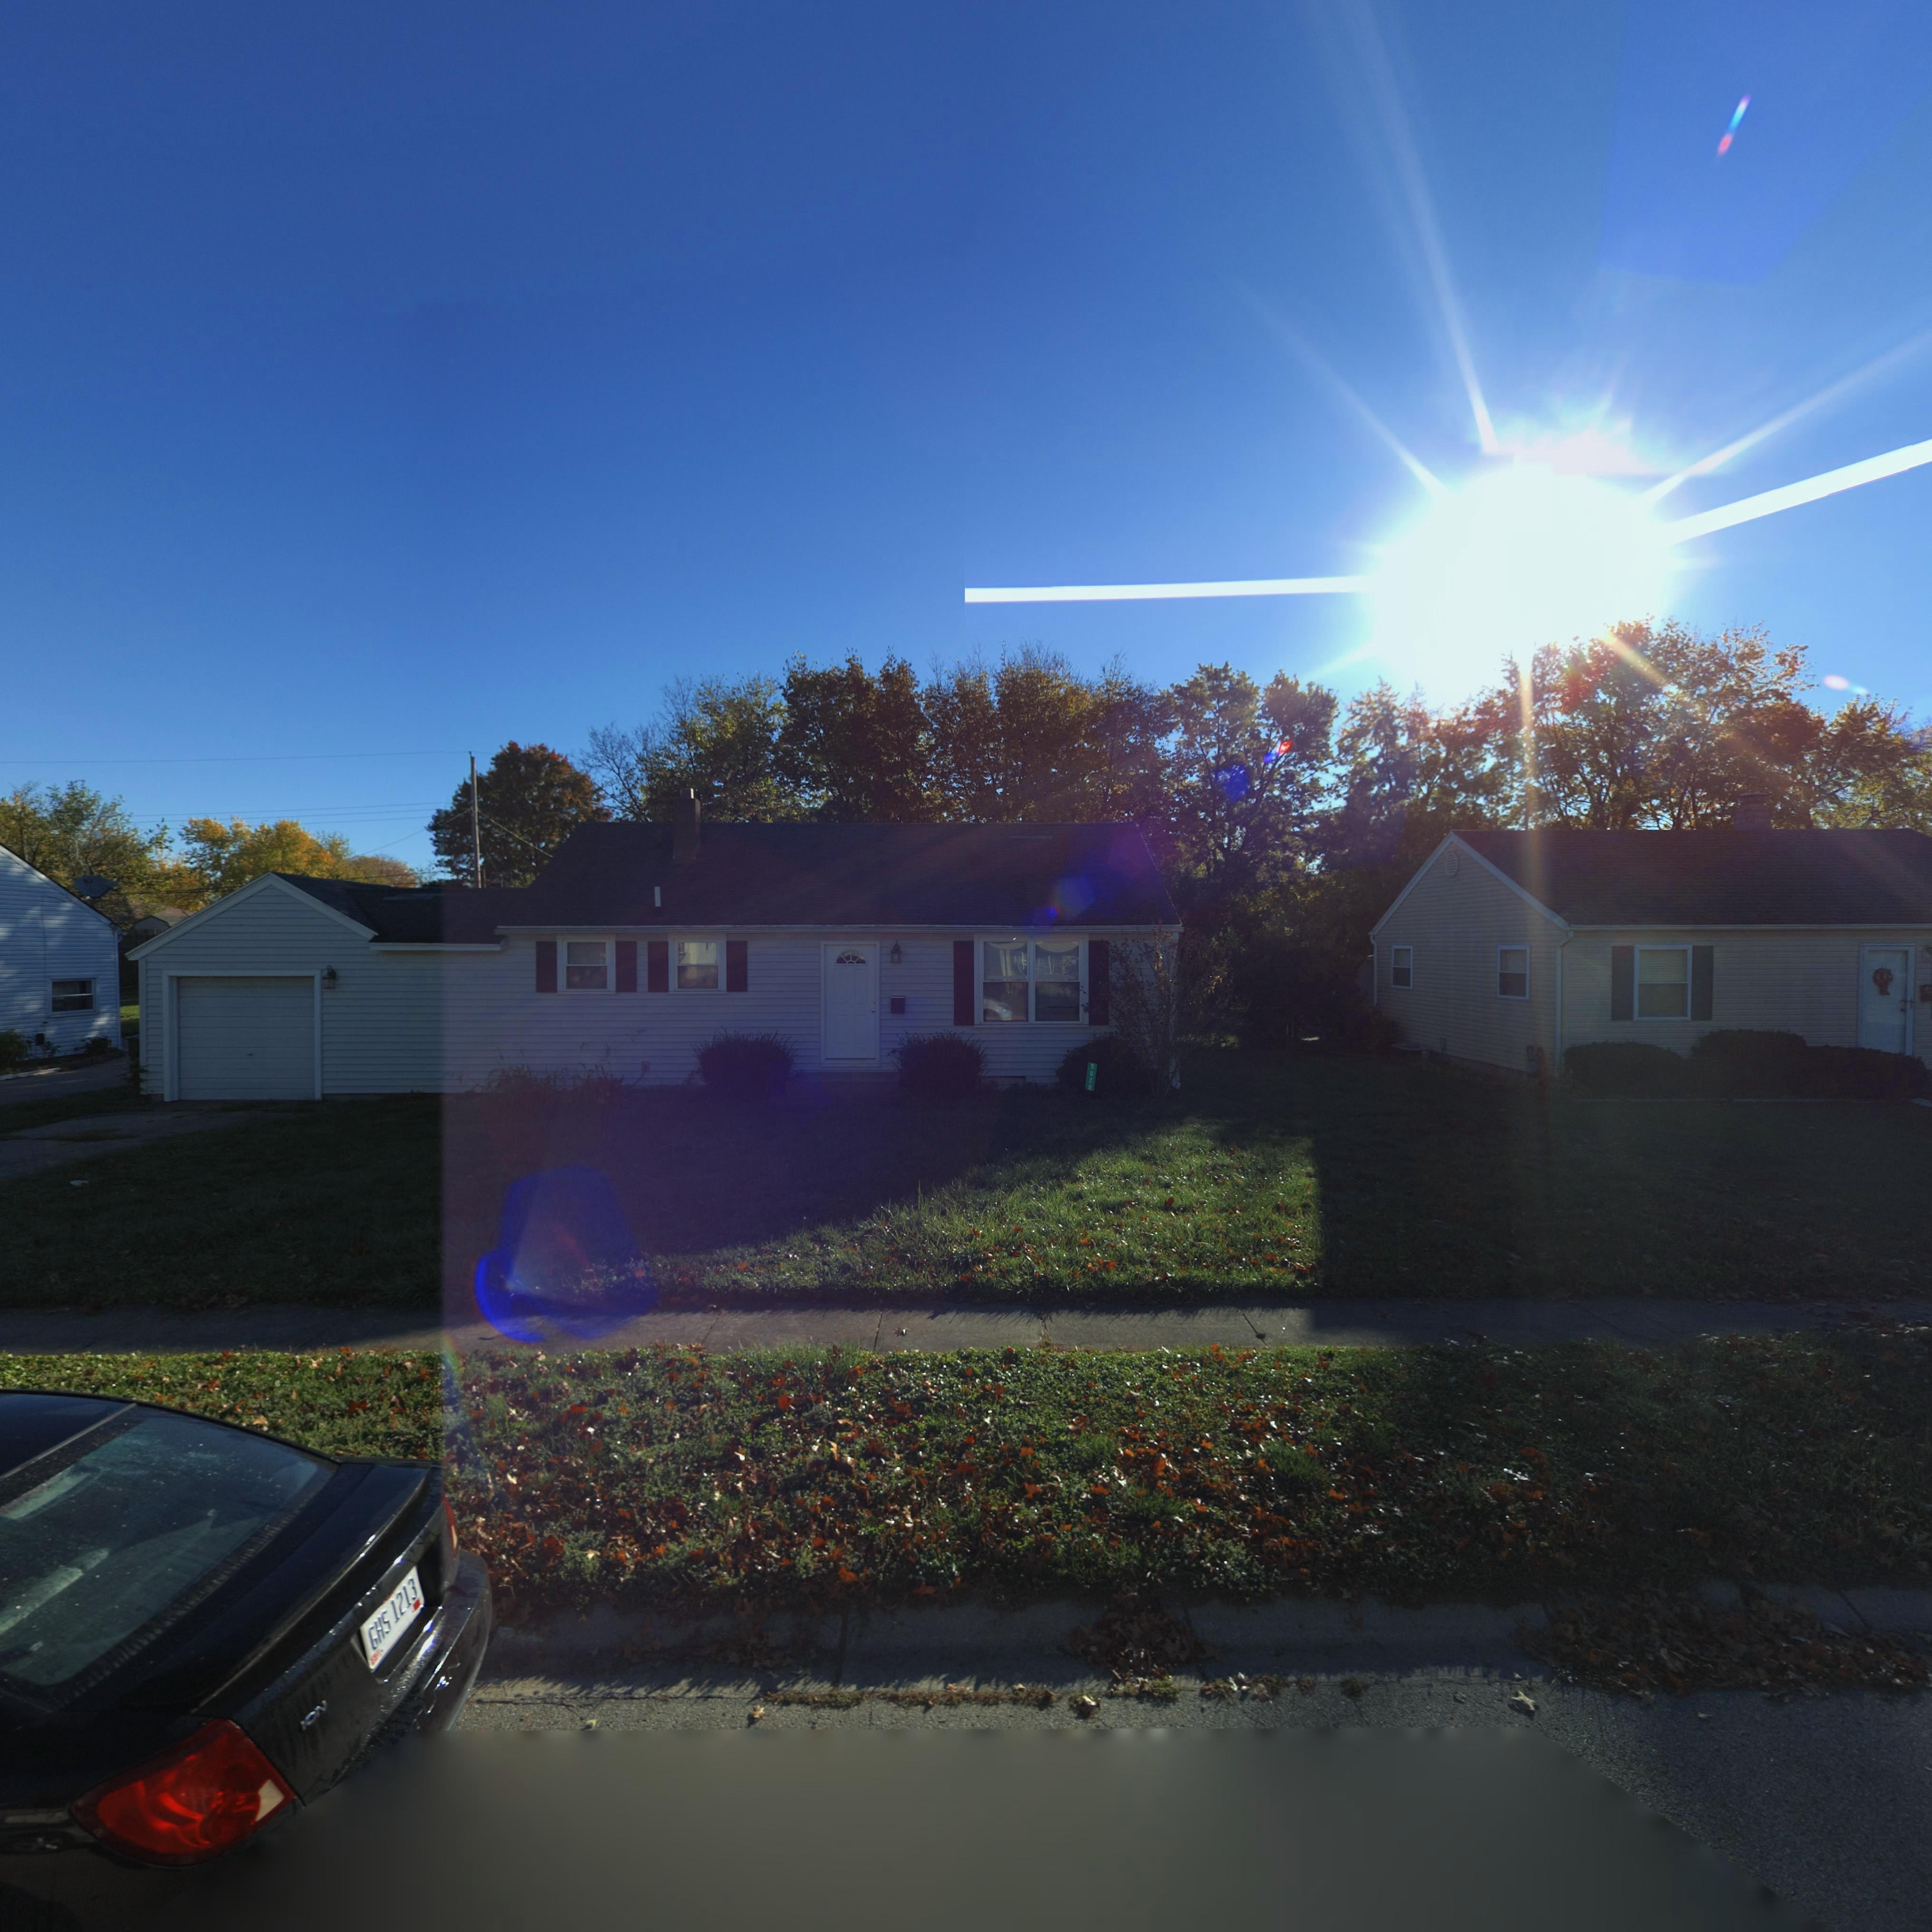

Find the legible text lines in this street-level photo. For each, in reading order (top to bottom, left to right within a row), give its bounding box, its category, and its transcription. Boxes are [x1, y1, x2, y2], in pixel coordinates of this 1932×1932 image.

[1087, 1063, 1095, 1091] StreetNumber: 5028